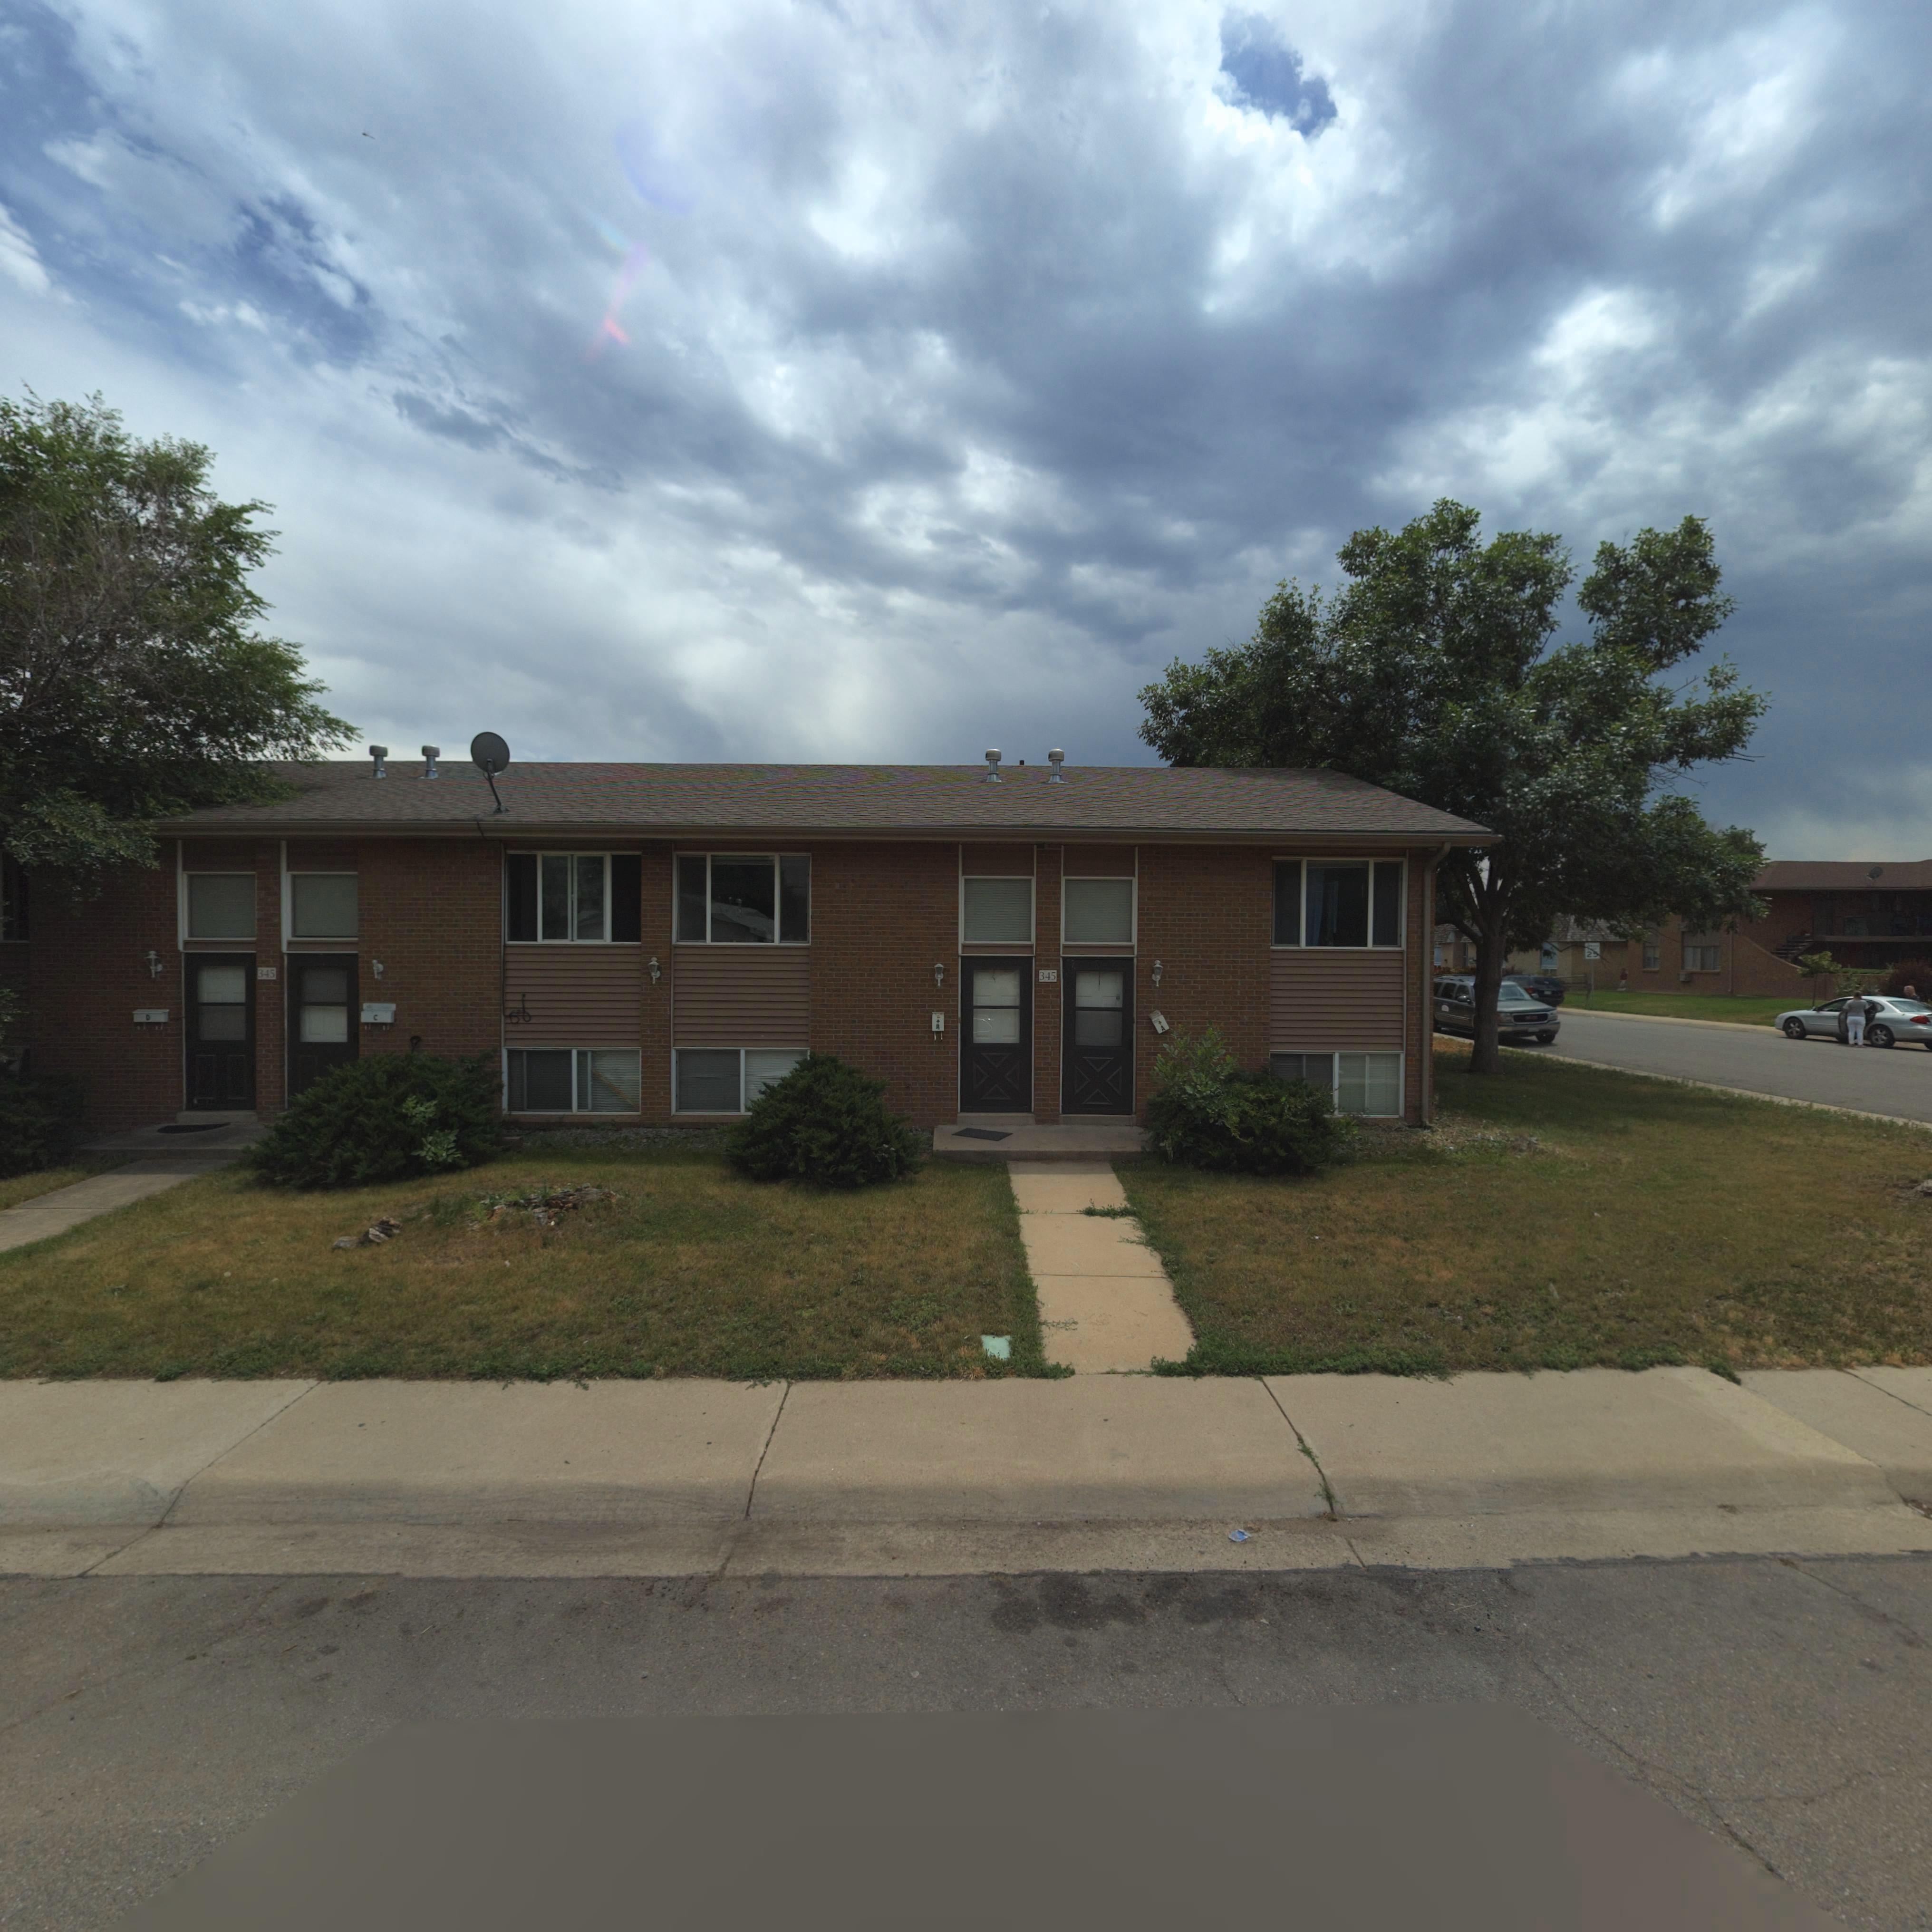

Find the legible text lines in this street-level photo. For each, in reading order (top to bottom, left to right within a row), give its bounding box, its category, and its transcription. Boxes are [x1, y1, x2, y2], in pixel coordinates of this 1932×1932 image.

[257, 969, 275, 978] StreetNumber: 345
[1038, 972, 1056, 980] StreetNumber: 345